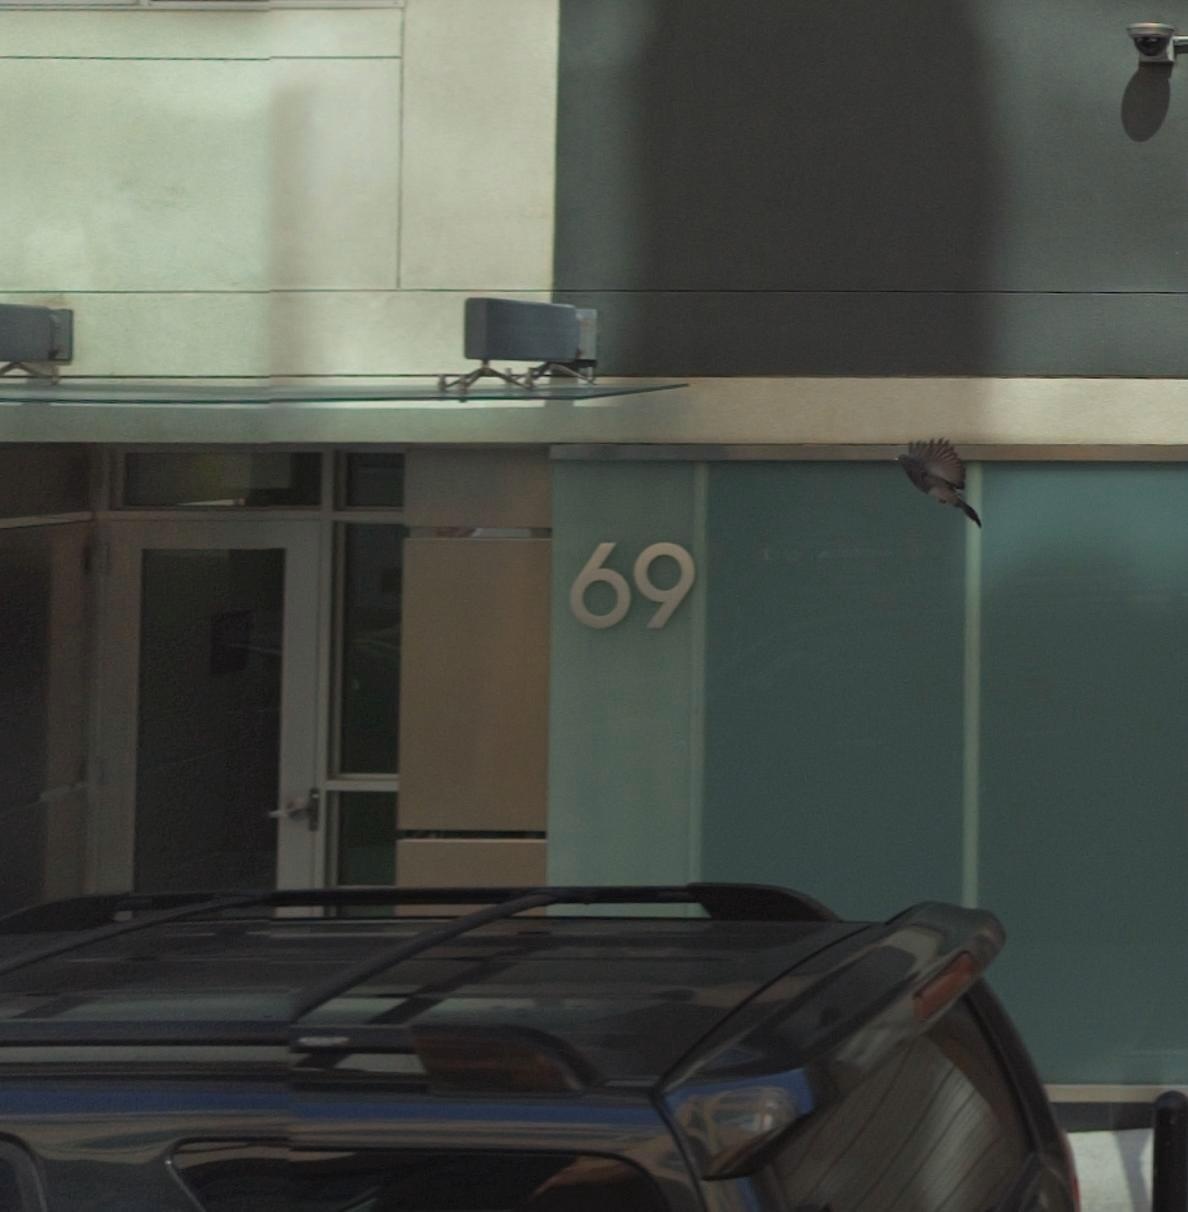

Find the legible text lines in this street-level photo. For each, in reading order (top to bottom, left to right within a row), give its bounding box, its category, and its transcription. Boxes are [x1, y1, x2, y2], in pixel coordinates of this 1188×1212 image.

[567, 540, 696, 633] StreetNumber: 69